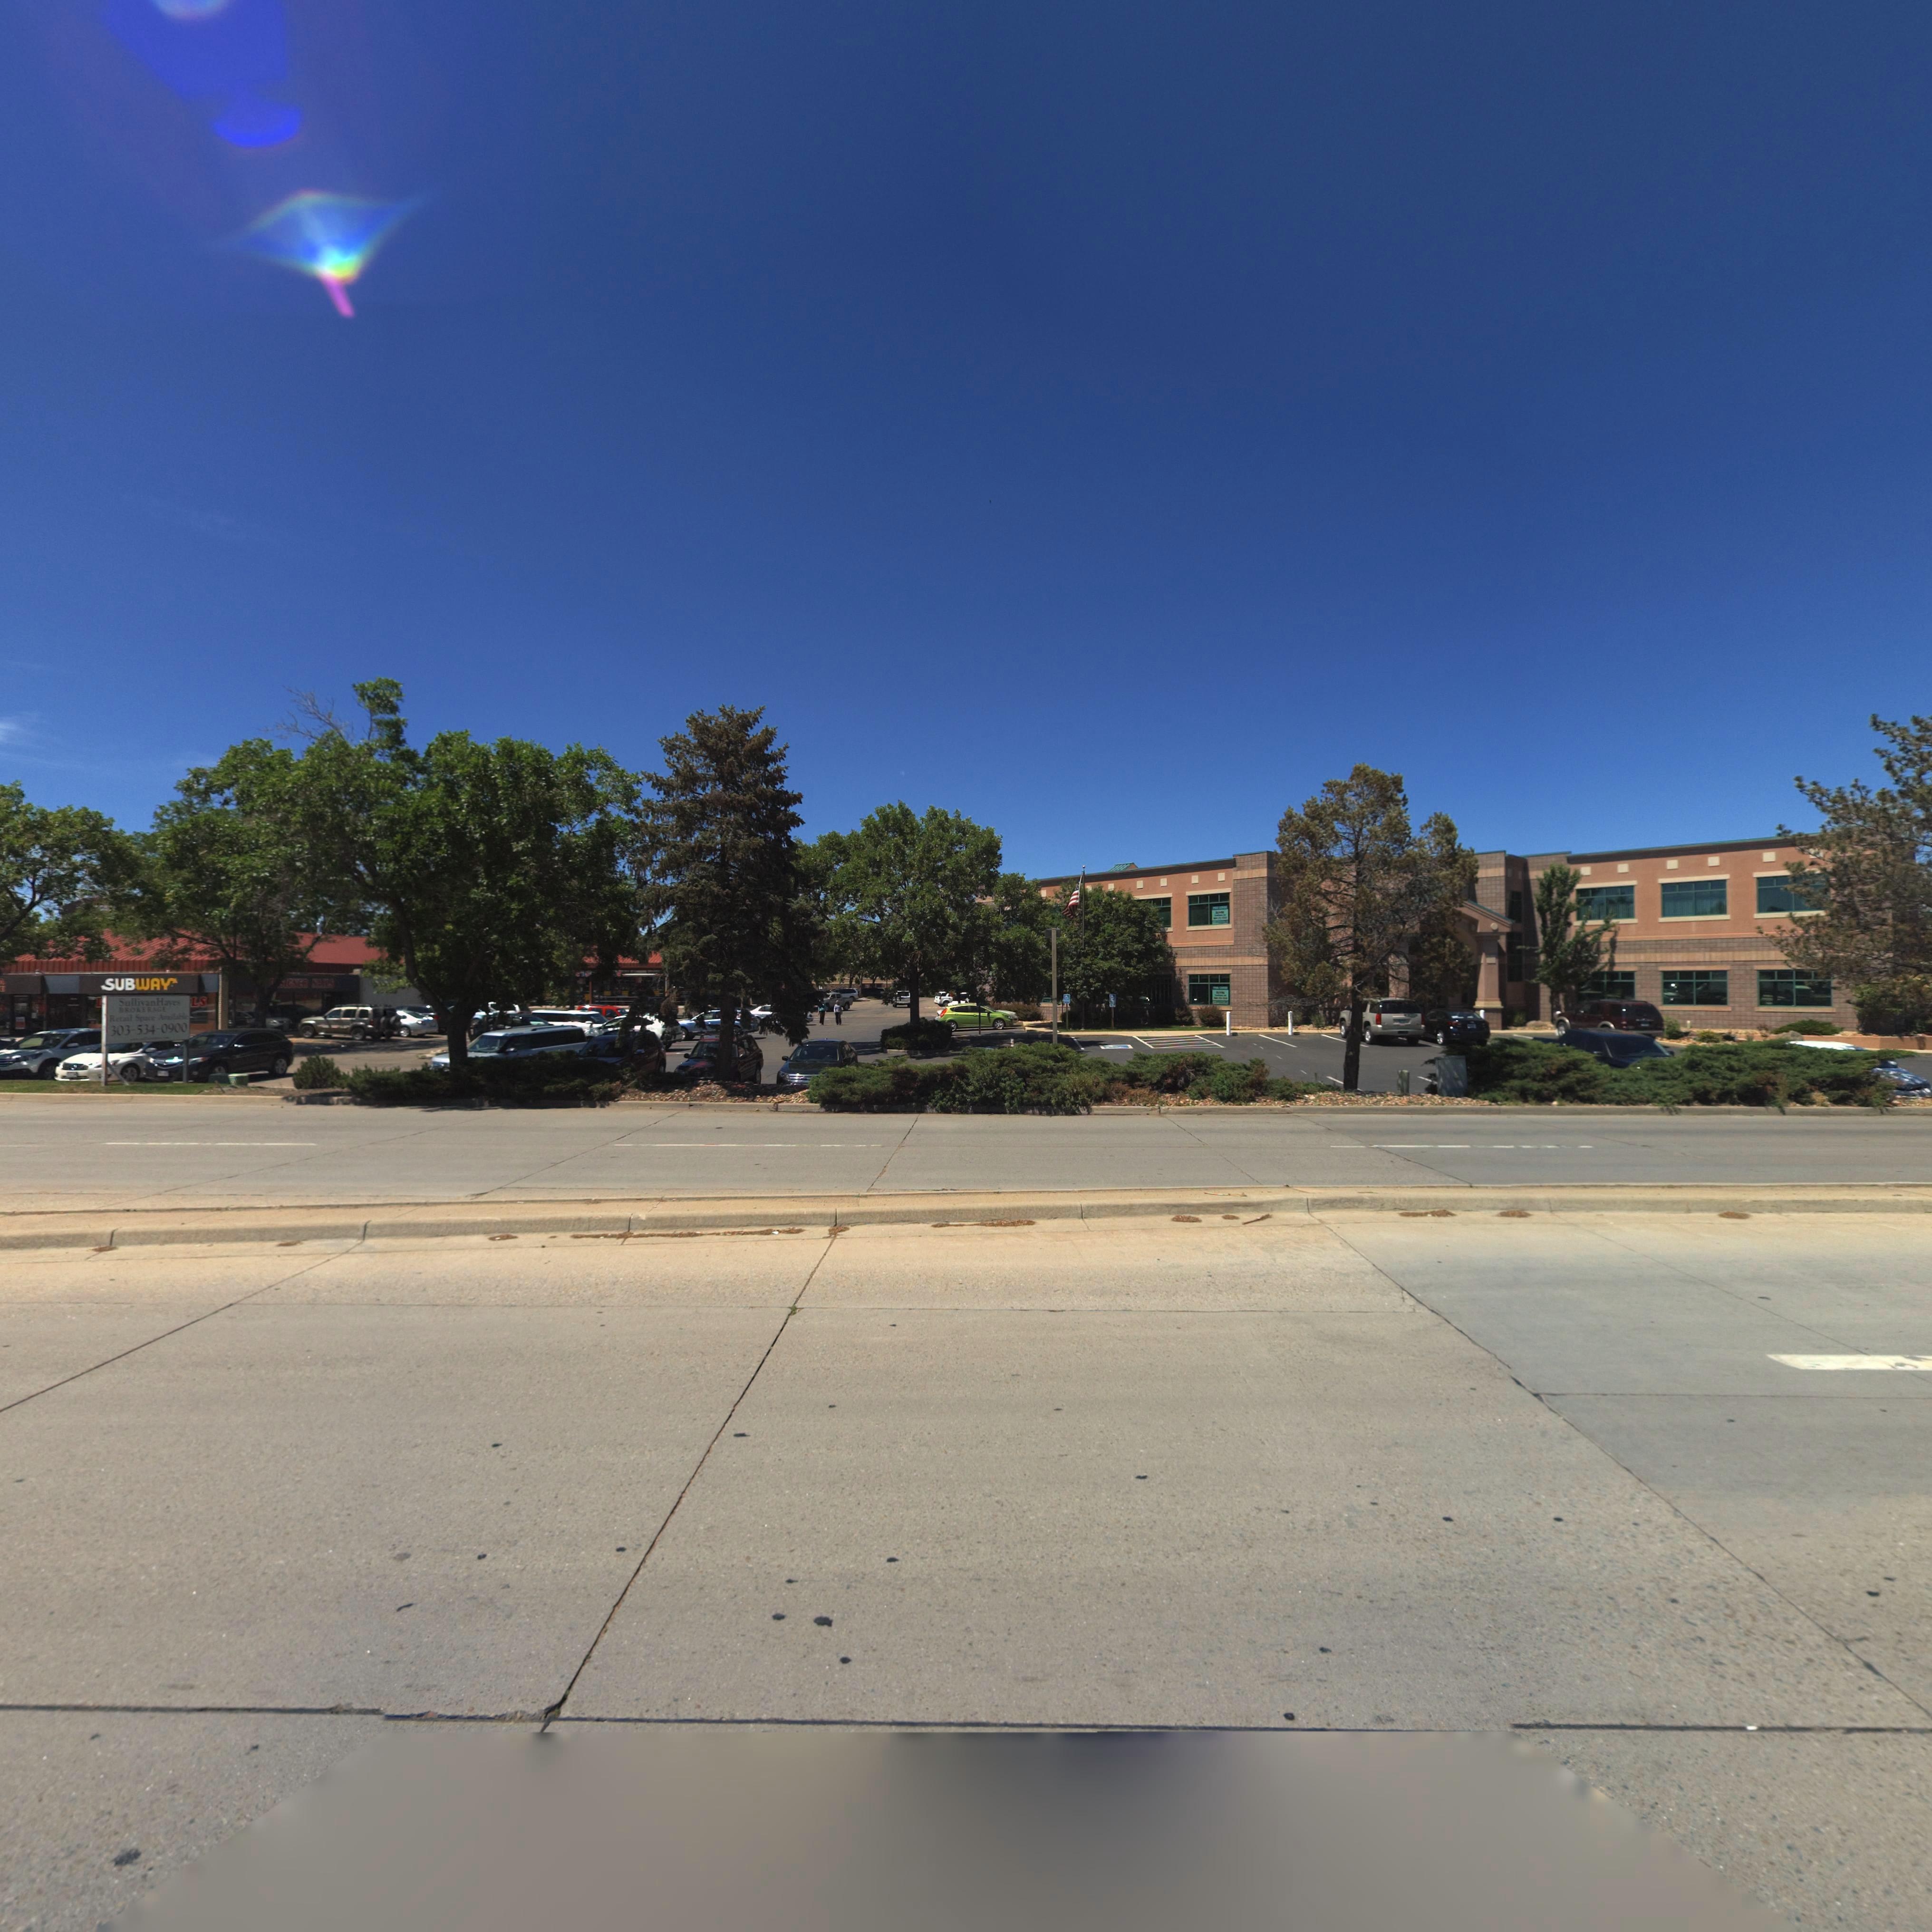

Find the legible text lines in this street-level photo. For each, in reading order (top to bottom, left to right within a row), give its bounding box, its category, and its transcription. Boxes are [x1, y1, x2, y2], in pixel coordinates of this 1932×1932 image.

[99, 976, 178, 992] BusinessName: SUBWAY
[270, 978, 334, 988] BusinessName: ***IGNER N***S
[191, 997, 207, 1006] BusinessName: LS